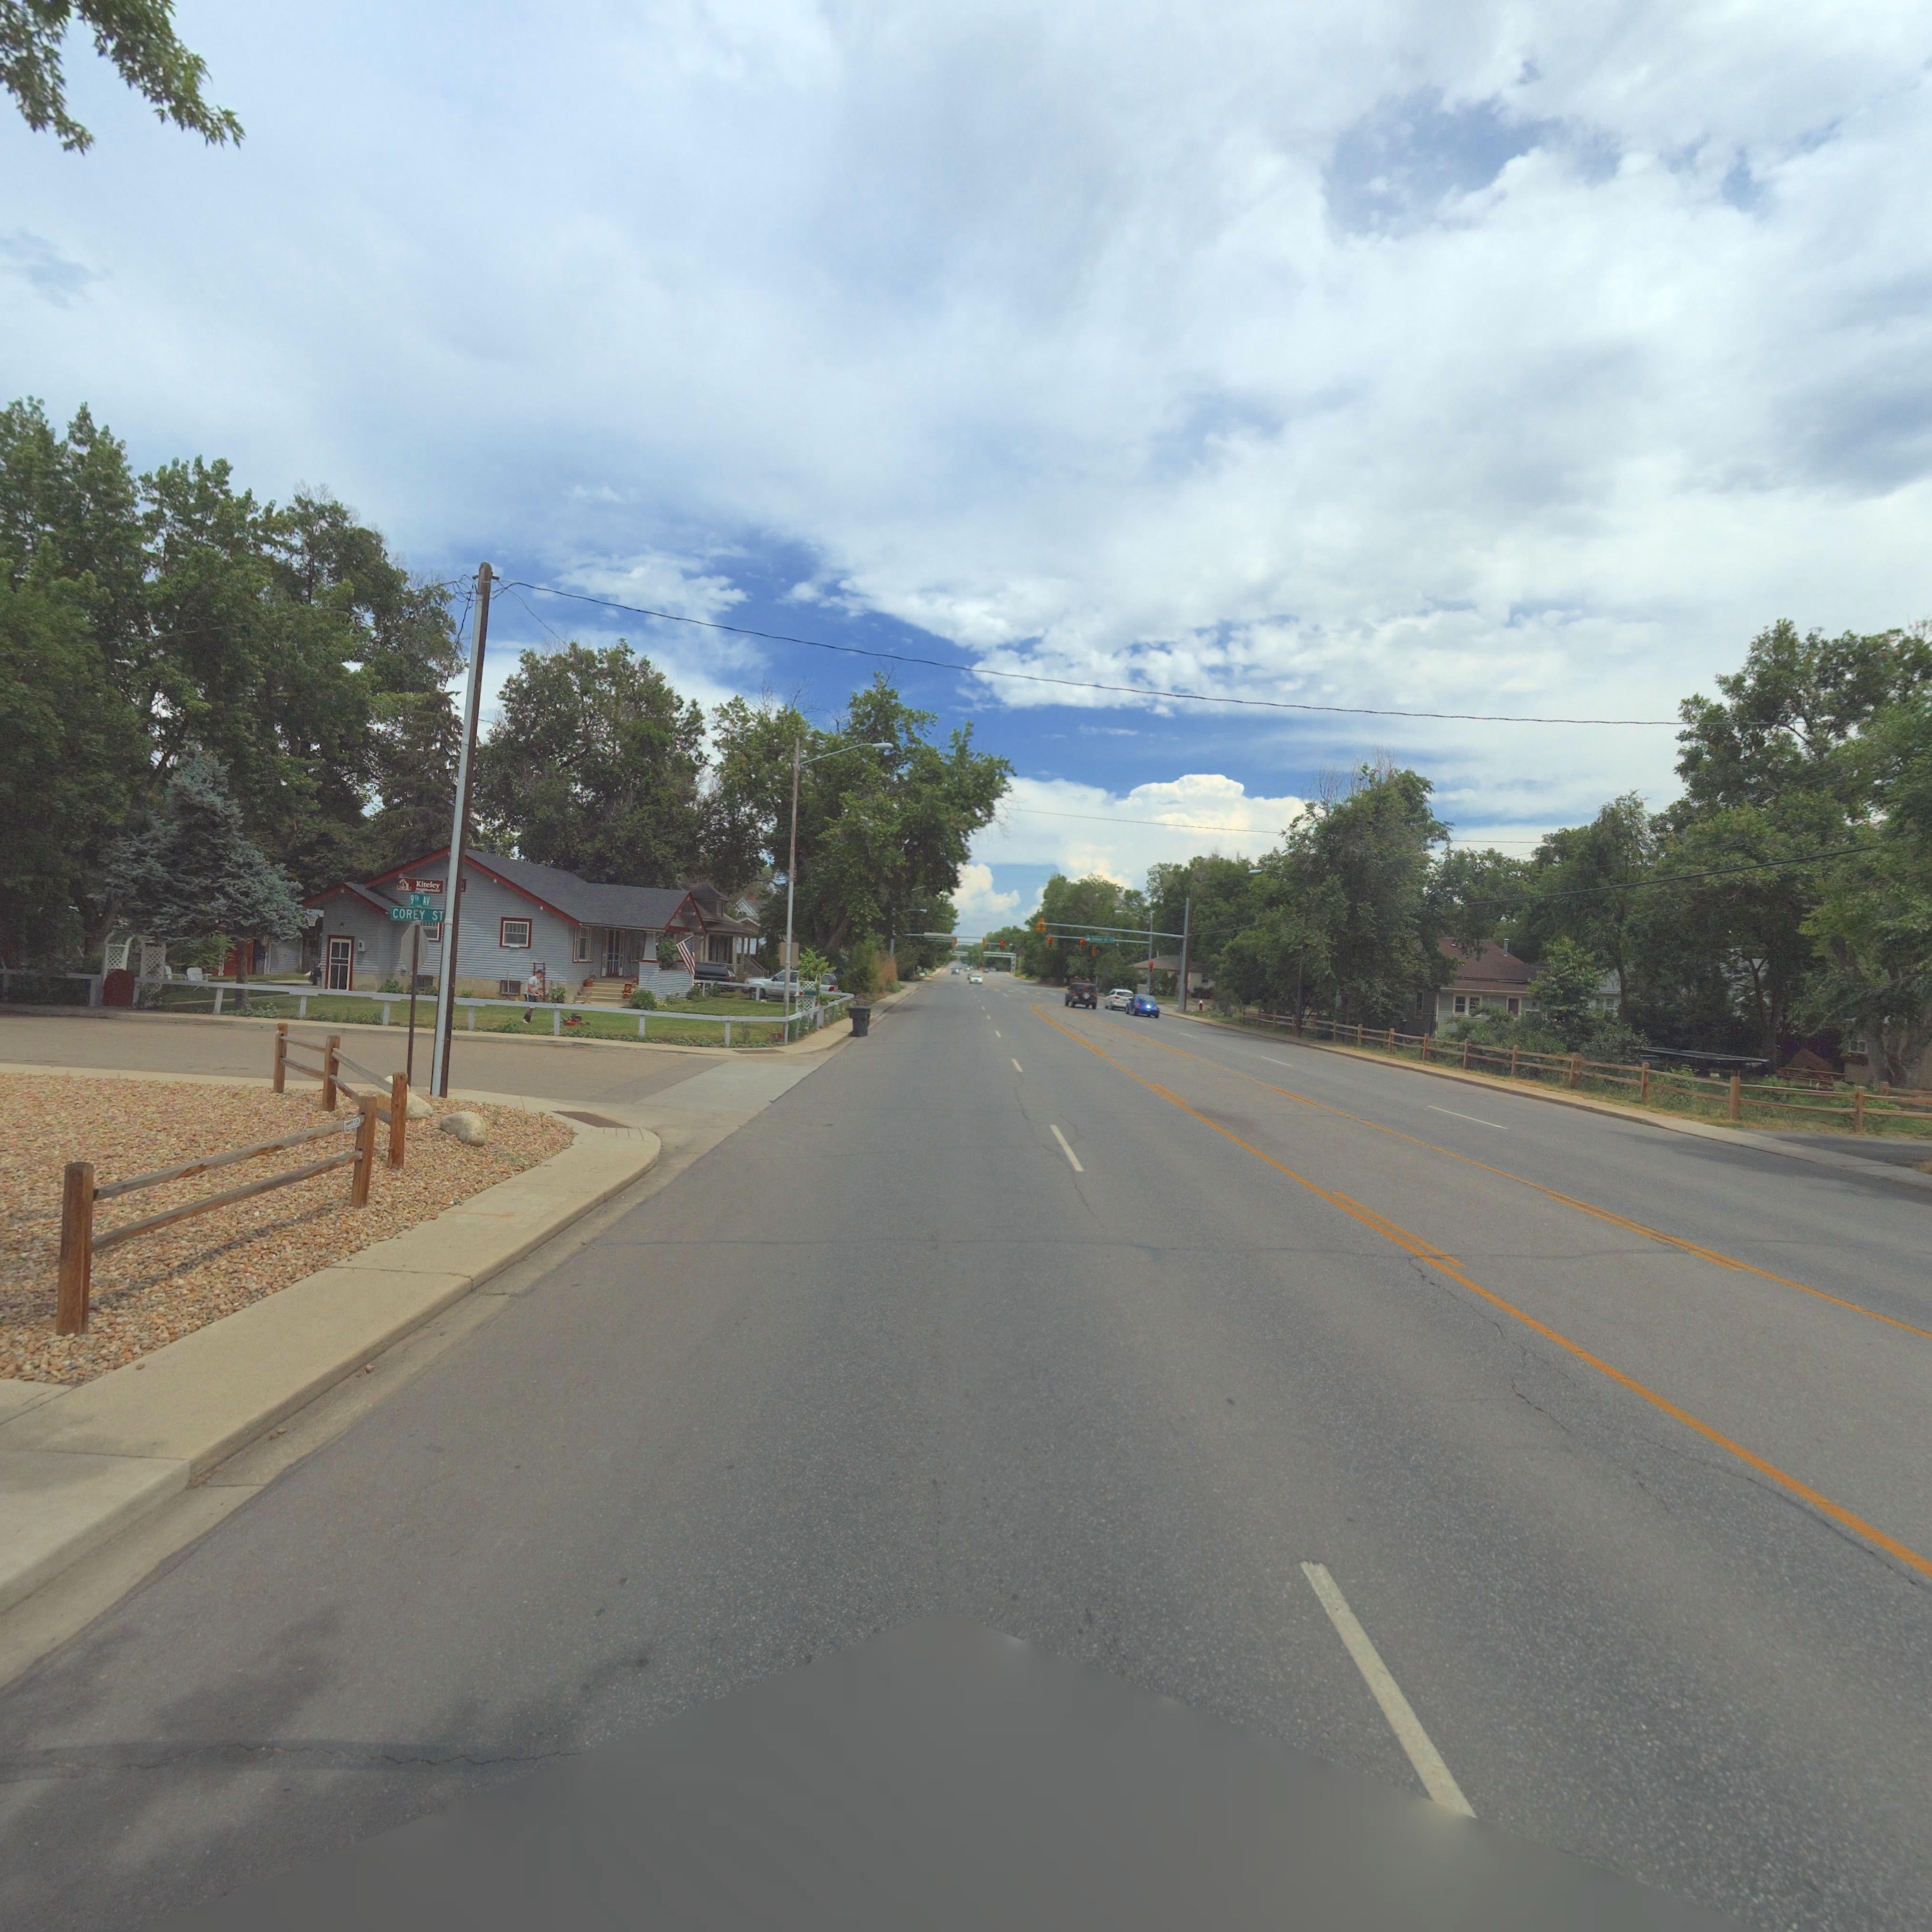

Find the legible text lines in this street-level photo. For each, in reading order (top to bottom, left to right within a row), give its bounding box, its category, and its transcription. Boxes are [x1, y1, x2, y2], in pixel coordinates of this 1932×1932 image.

[410, 895, 430, 905] StreetName: 9T* AV
[393, 908, 443, 920] StreetName: COREY ST